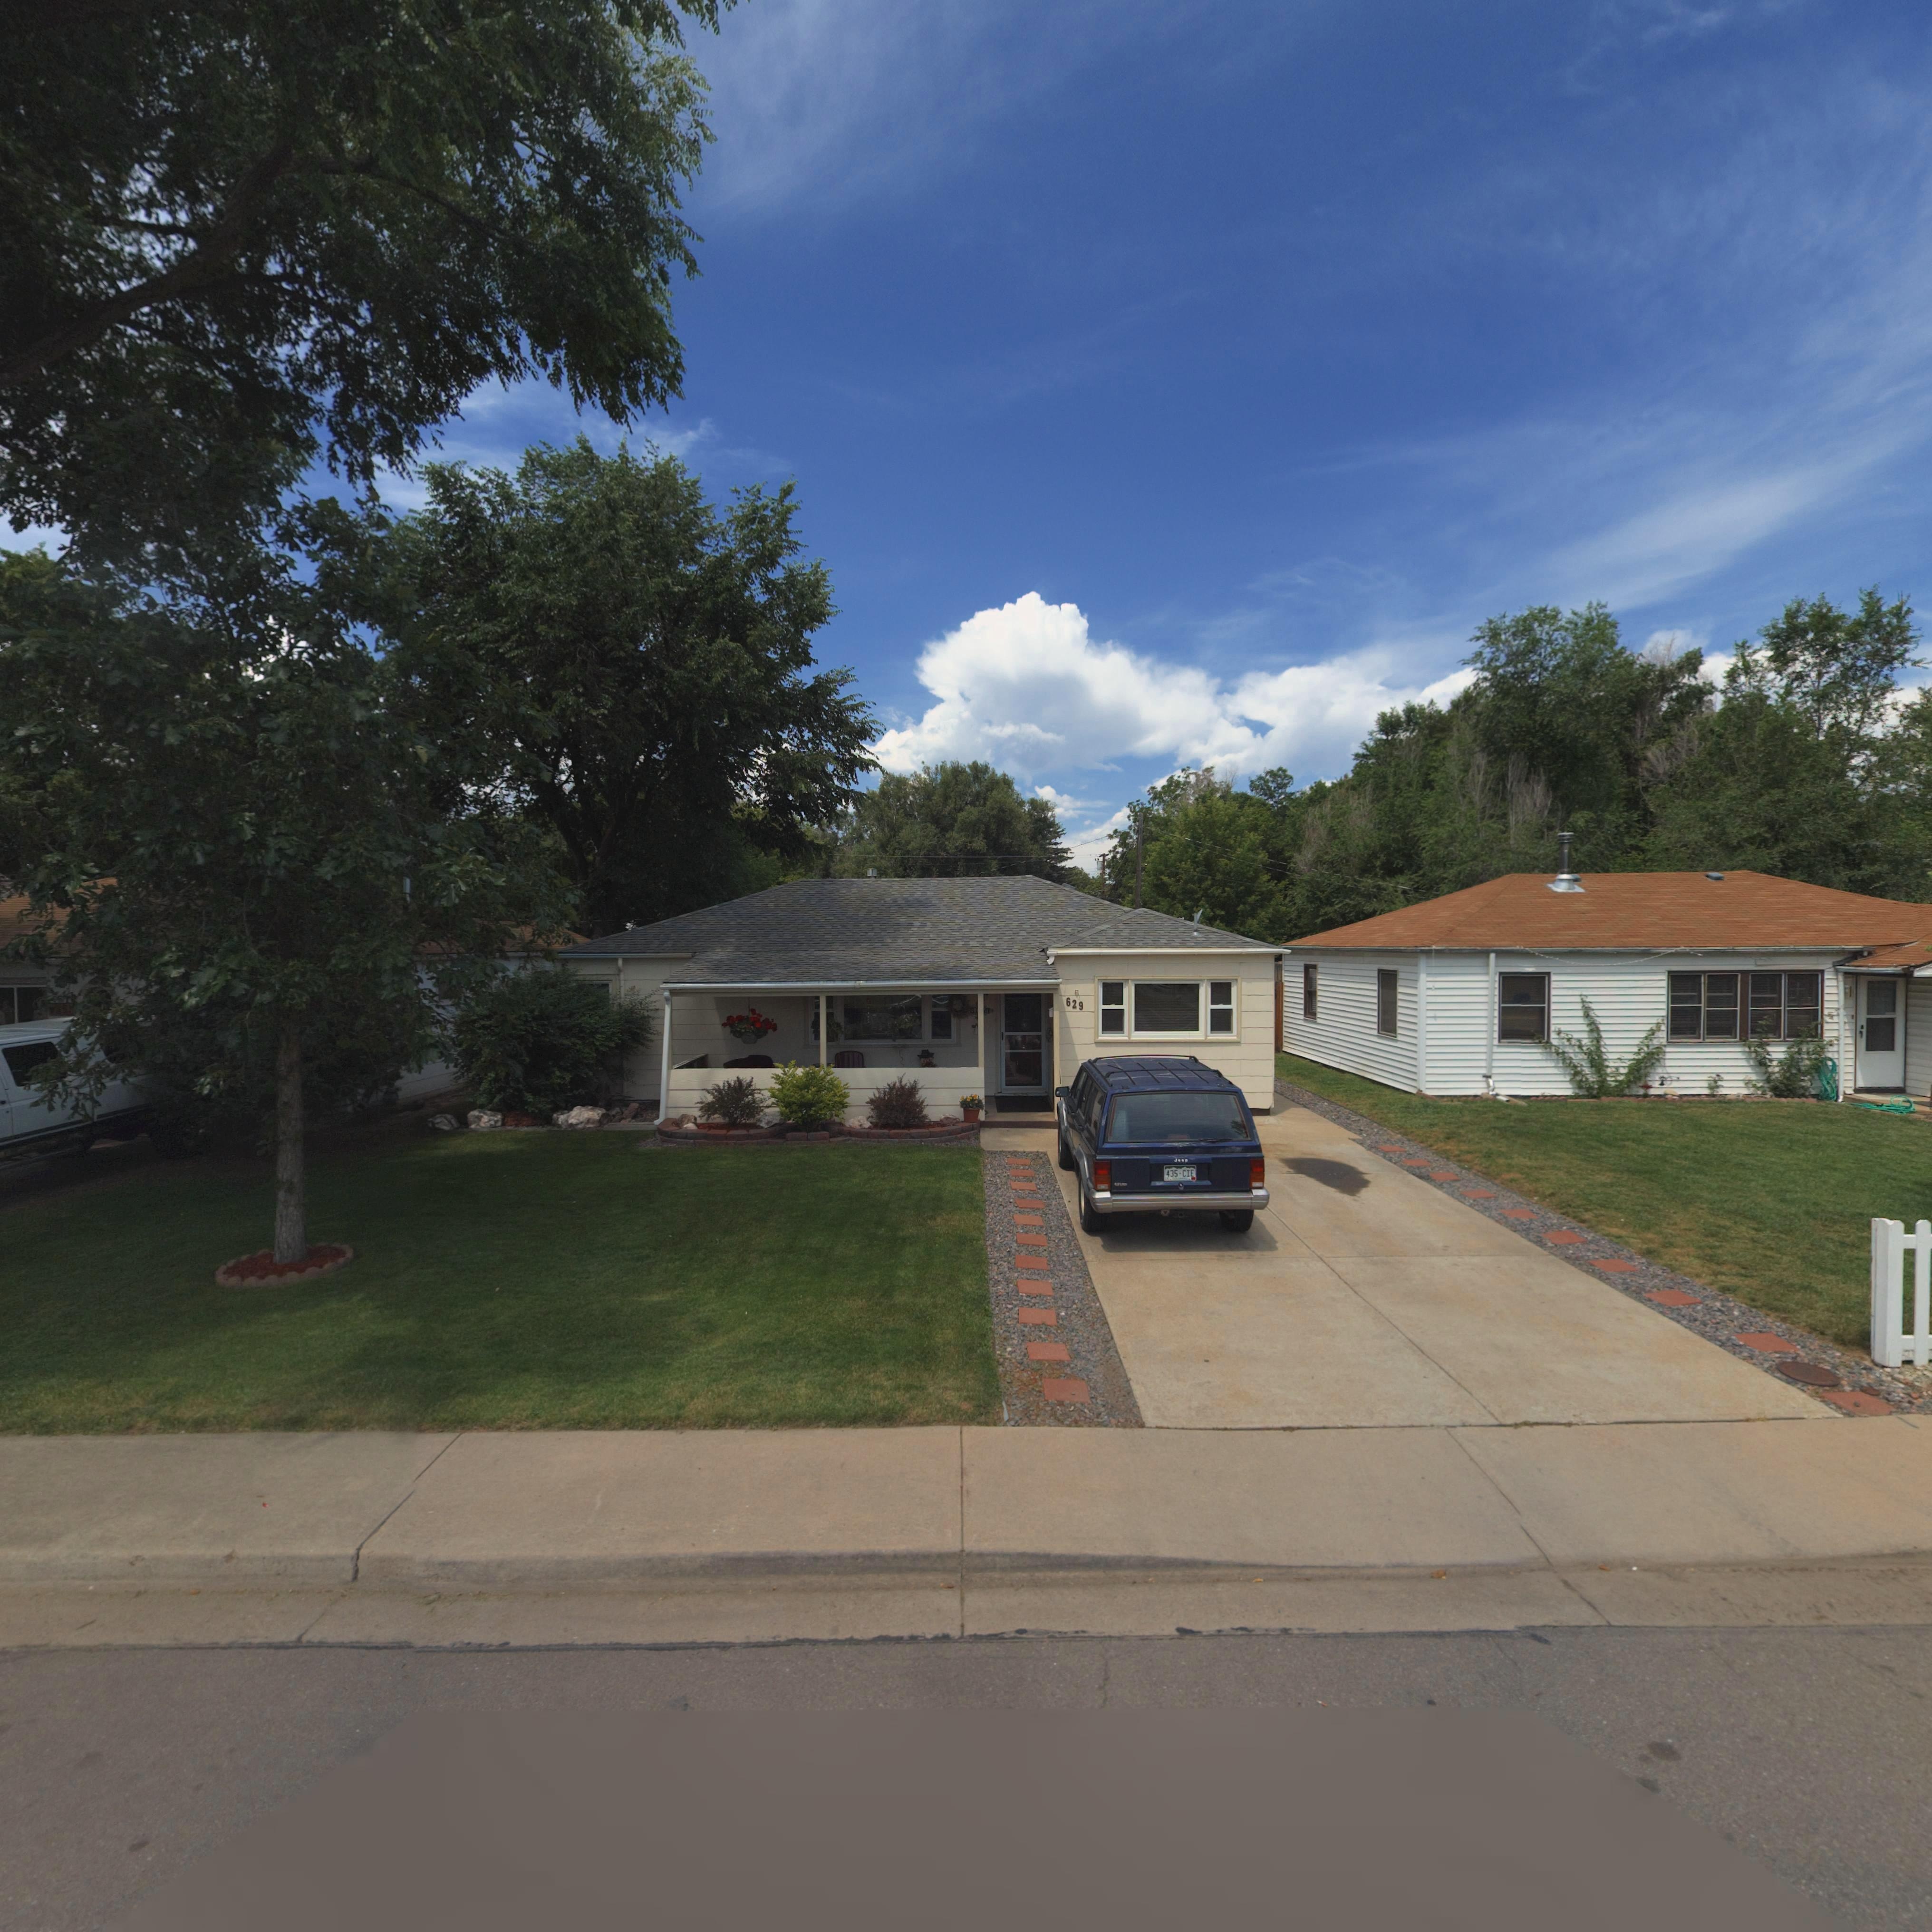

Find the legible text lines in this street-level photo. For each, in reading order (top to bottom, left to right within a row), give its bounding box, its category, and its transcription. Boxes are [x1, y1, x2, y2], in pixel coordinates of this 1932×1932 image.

[1066, 997, 1083, 1010] StreetNumber: 629